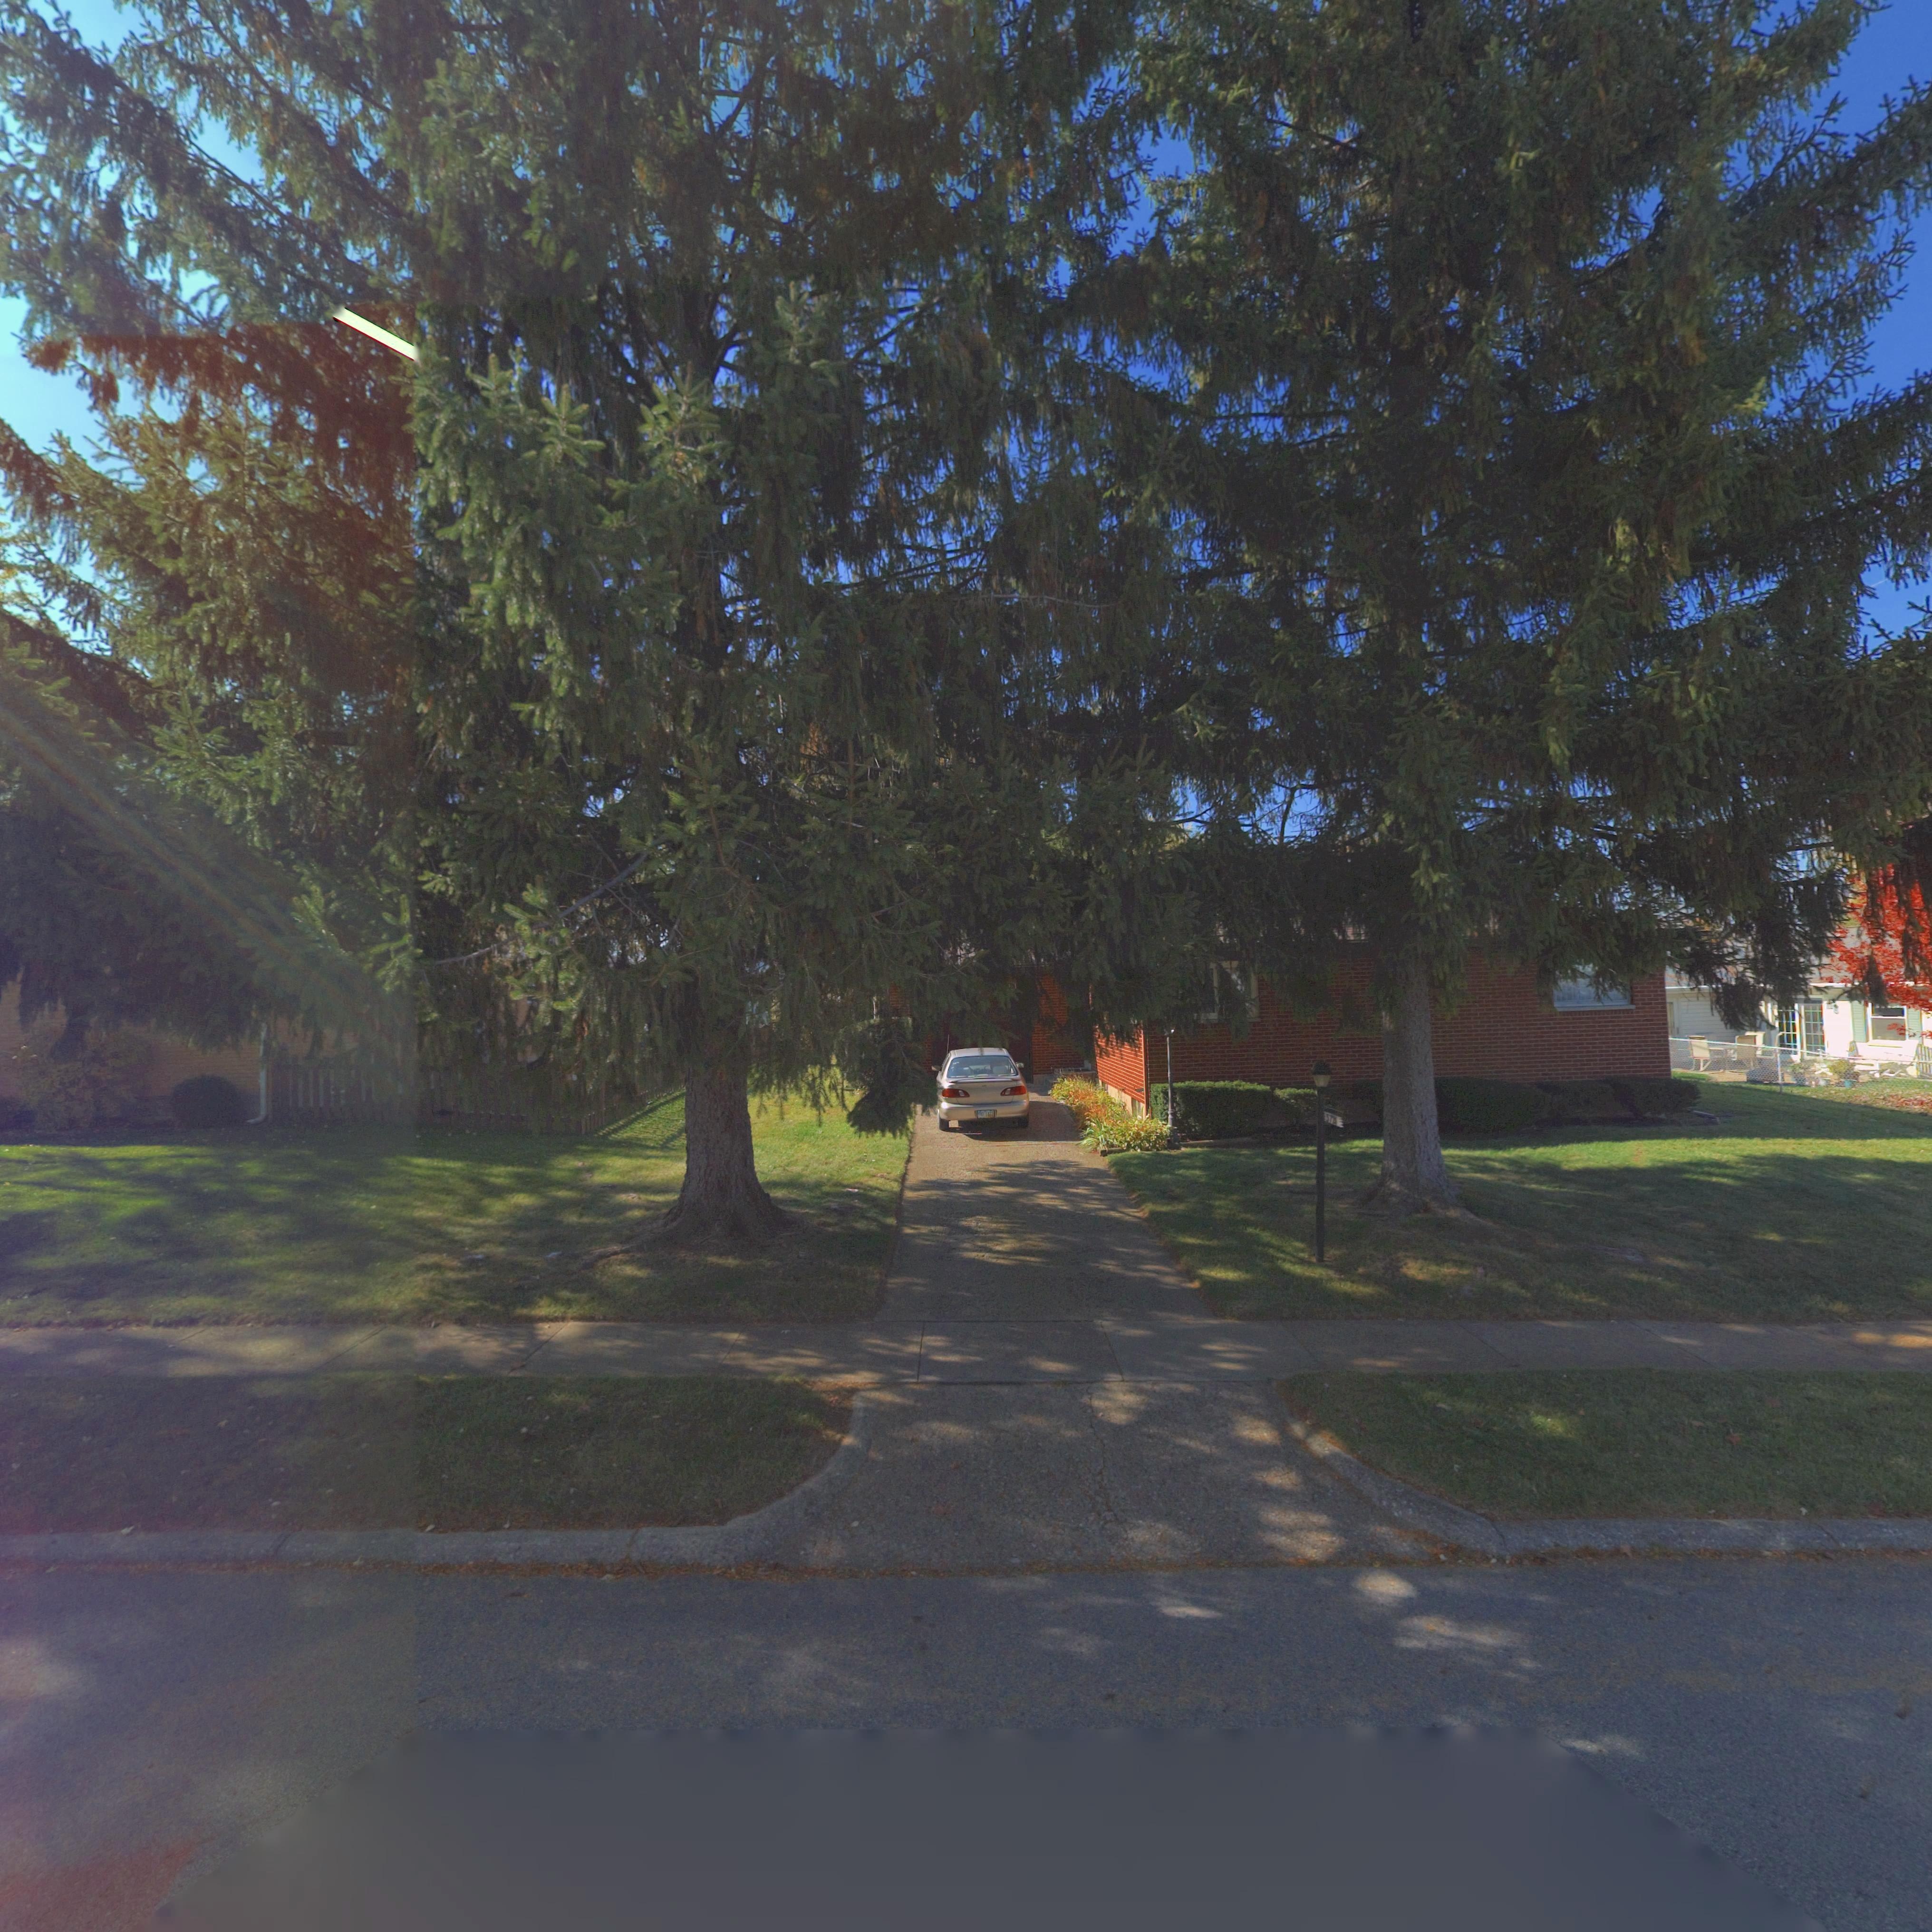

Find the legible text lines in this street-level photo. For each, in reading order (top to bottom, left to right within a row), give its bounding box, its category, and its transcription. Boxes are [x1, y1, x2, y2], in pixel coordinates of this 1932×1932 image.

[1325, 1113, 1338, 1126] StreetNumber: 37**